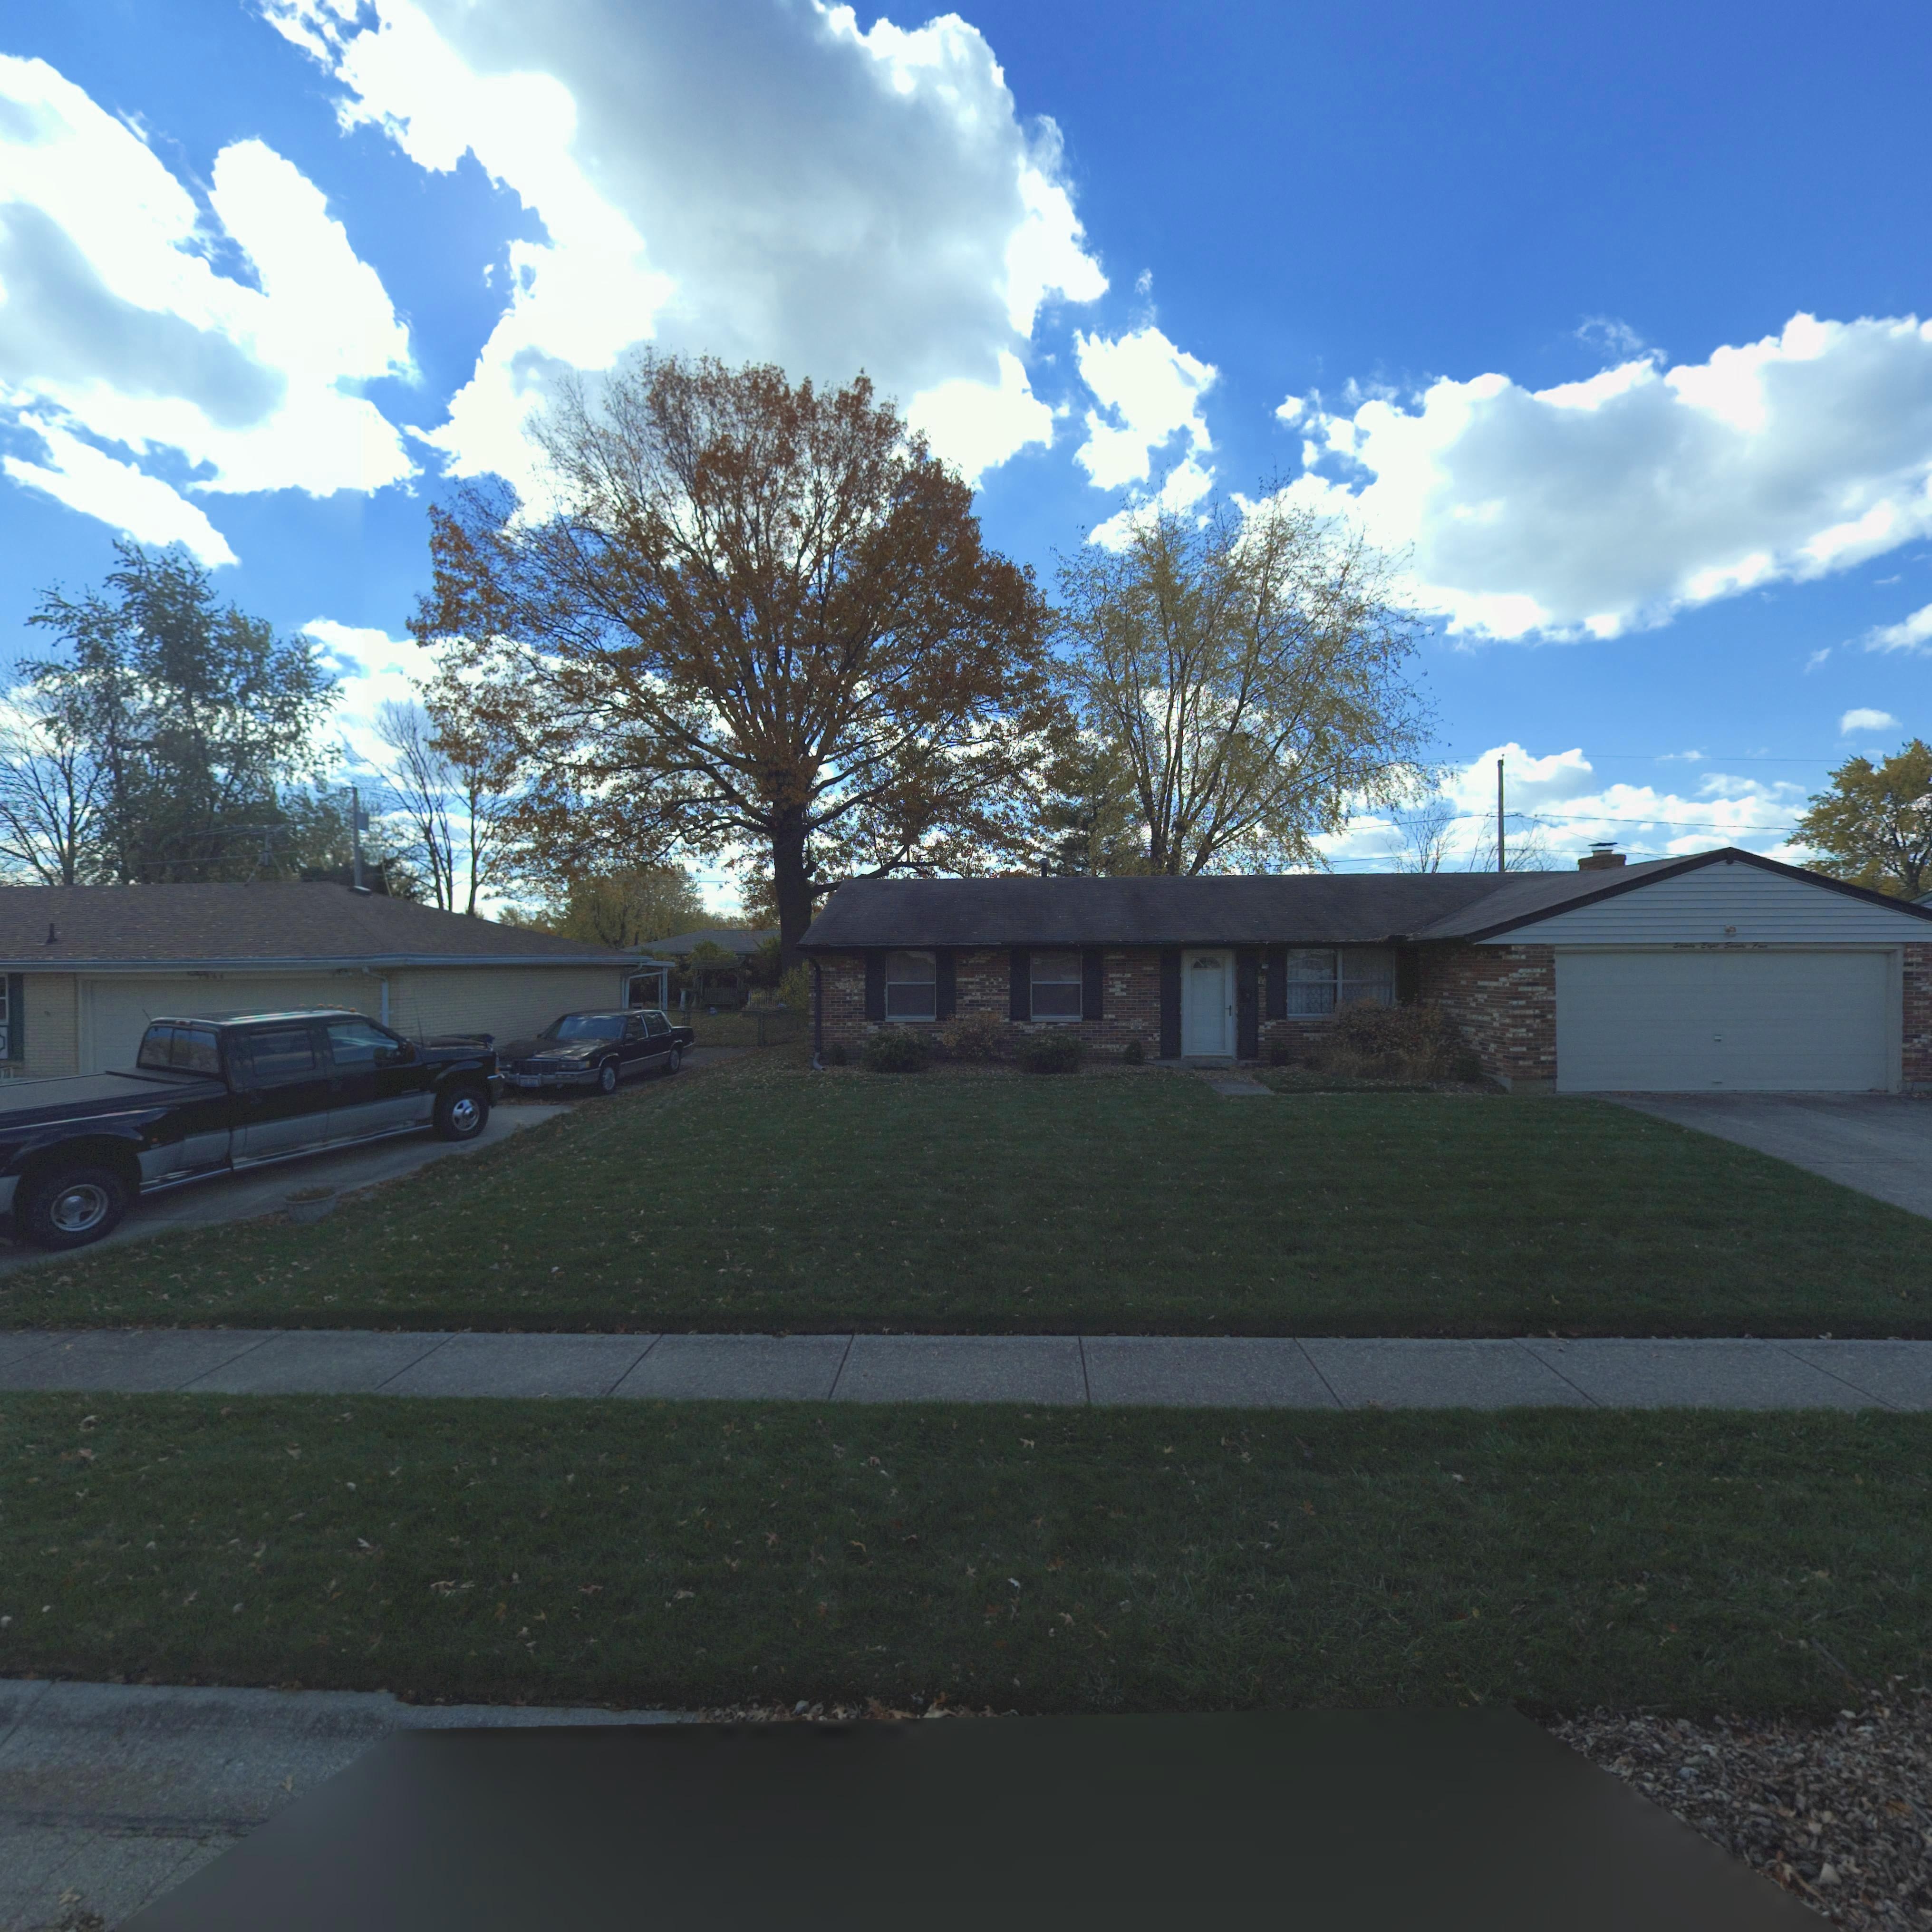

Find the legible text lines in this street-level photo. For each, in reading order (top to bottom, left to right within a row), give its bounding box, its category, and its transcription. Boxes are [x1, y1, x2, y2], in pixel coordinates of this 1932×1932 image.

[1672, 942, 1769, 949] StreetNumber: Seventy Eight Seventy Four
[210, 972, 225, 980] StreetNumber: 66